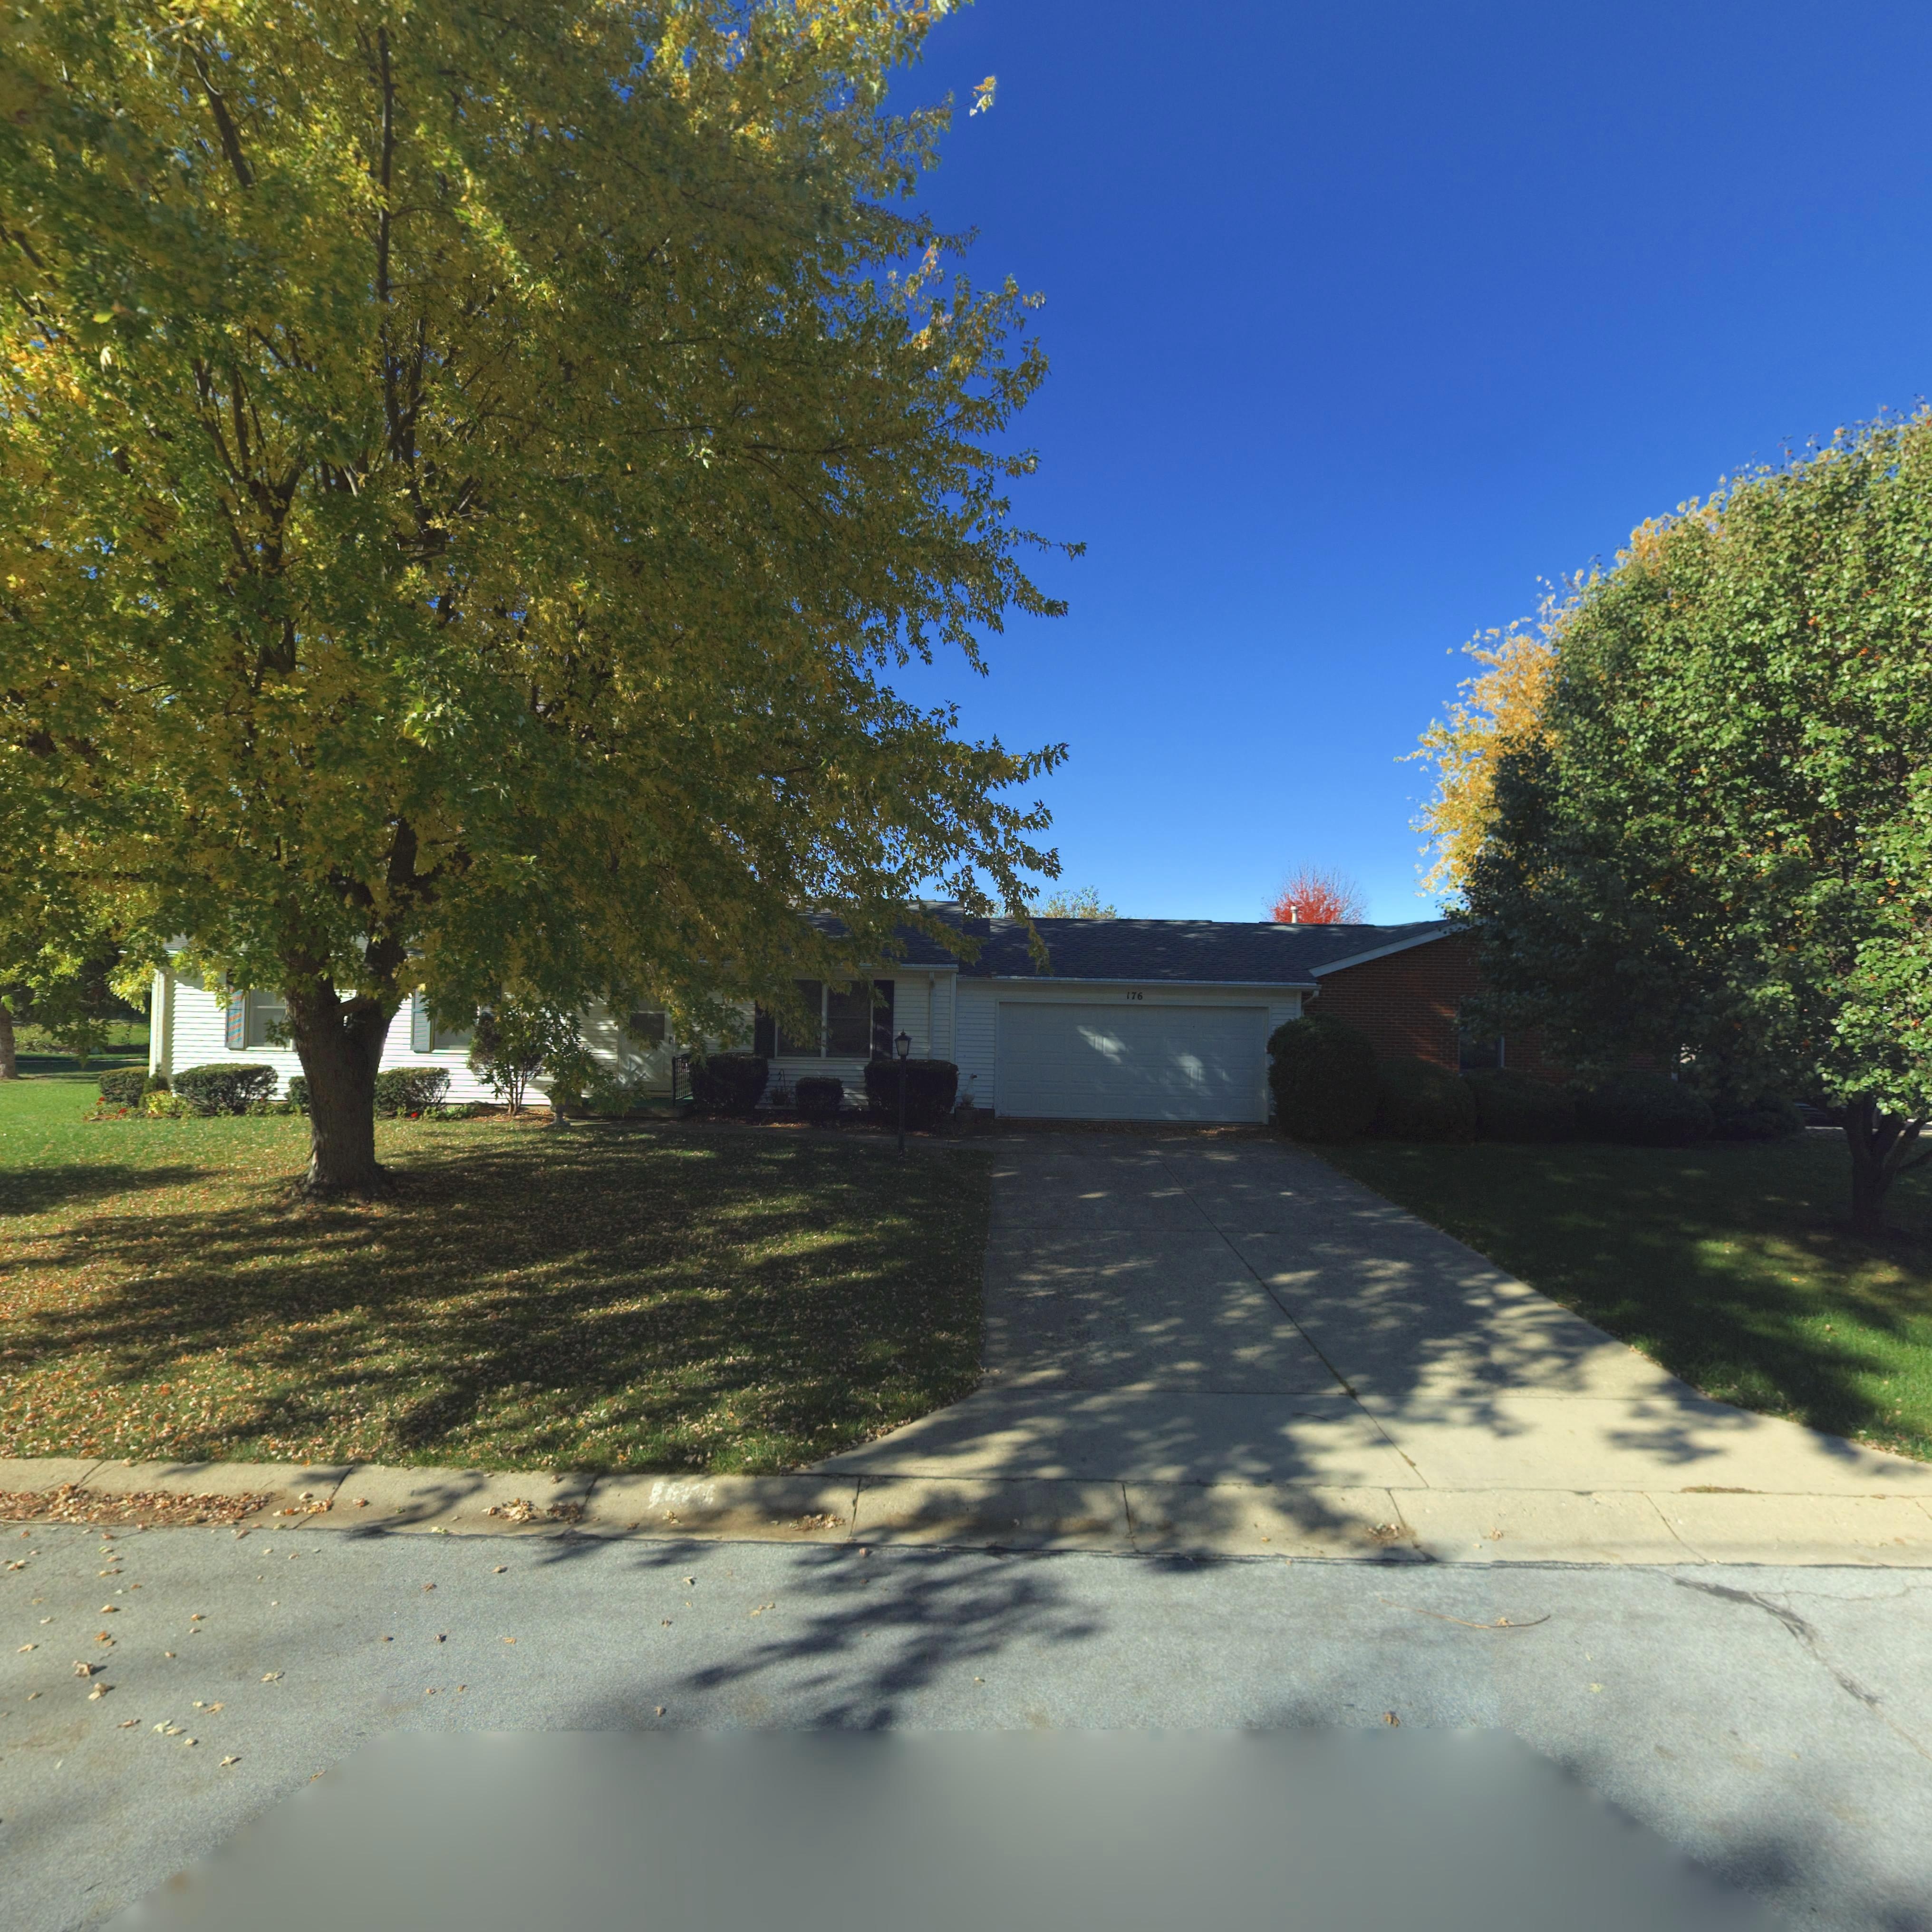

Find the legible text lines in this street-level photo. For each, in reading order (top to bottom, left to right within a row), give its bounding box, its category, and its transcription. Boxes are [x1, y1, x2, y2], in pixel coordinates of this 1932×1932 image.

[1126, 991, 1144, 1001] StreetNumber: 176